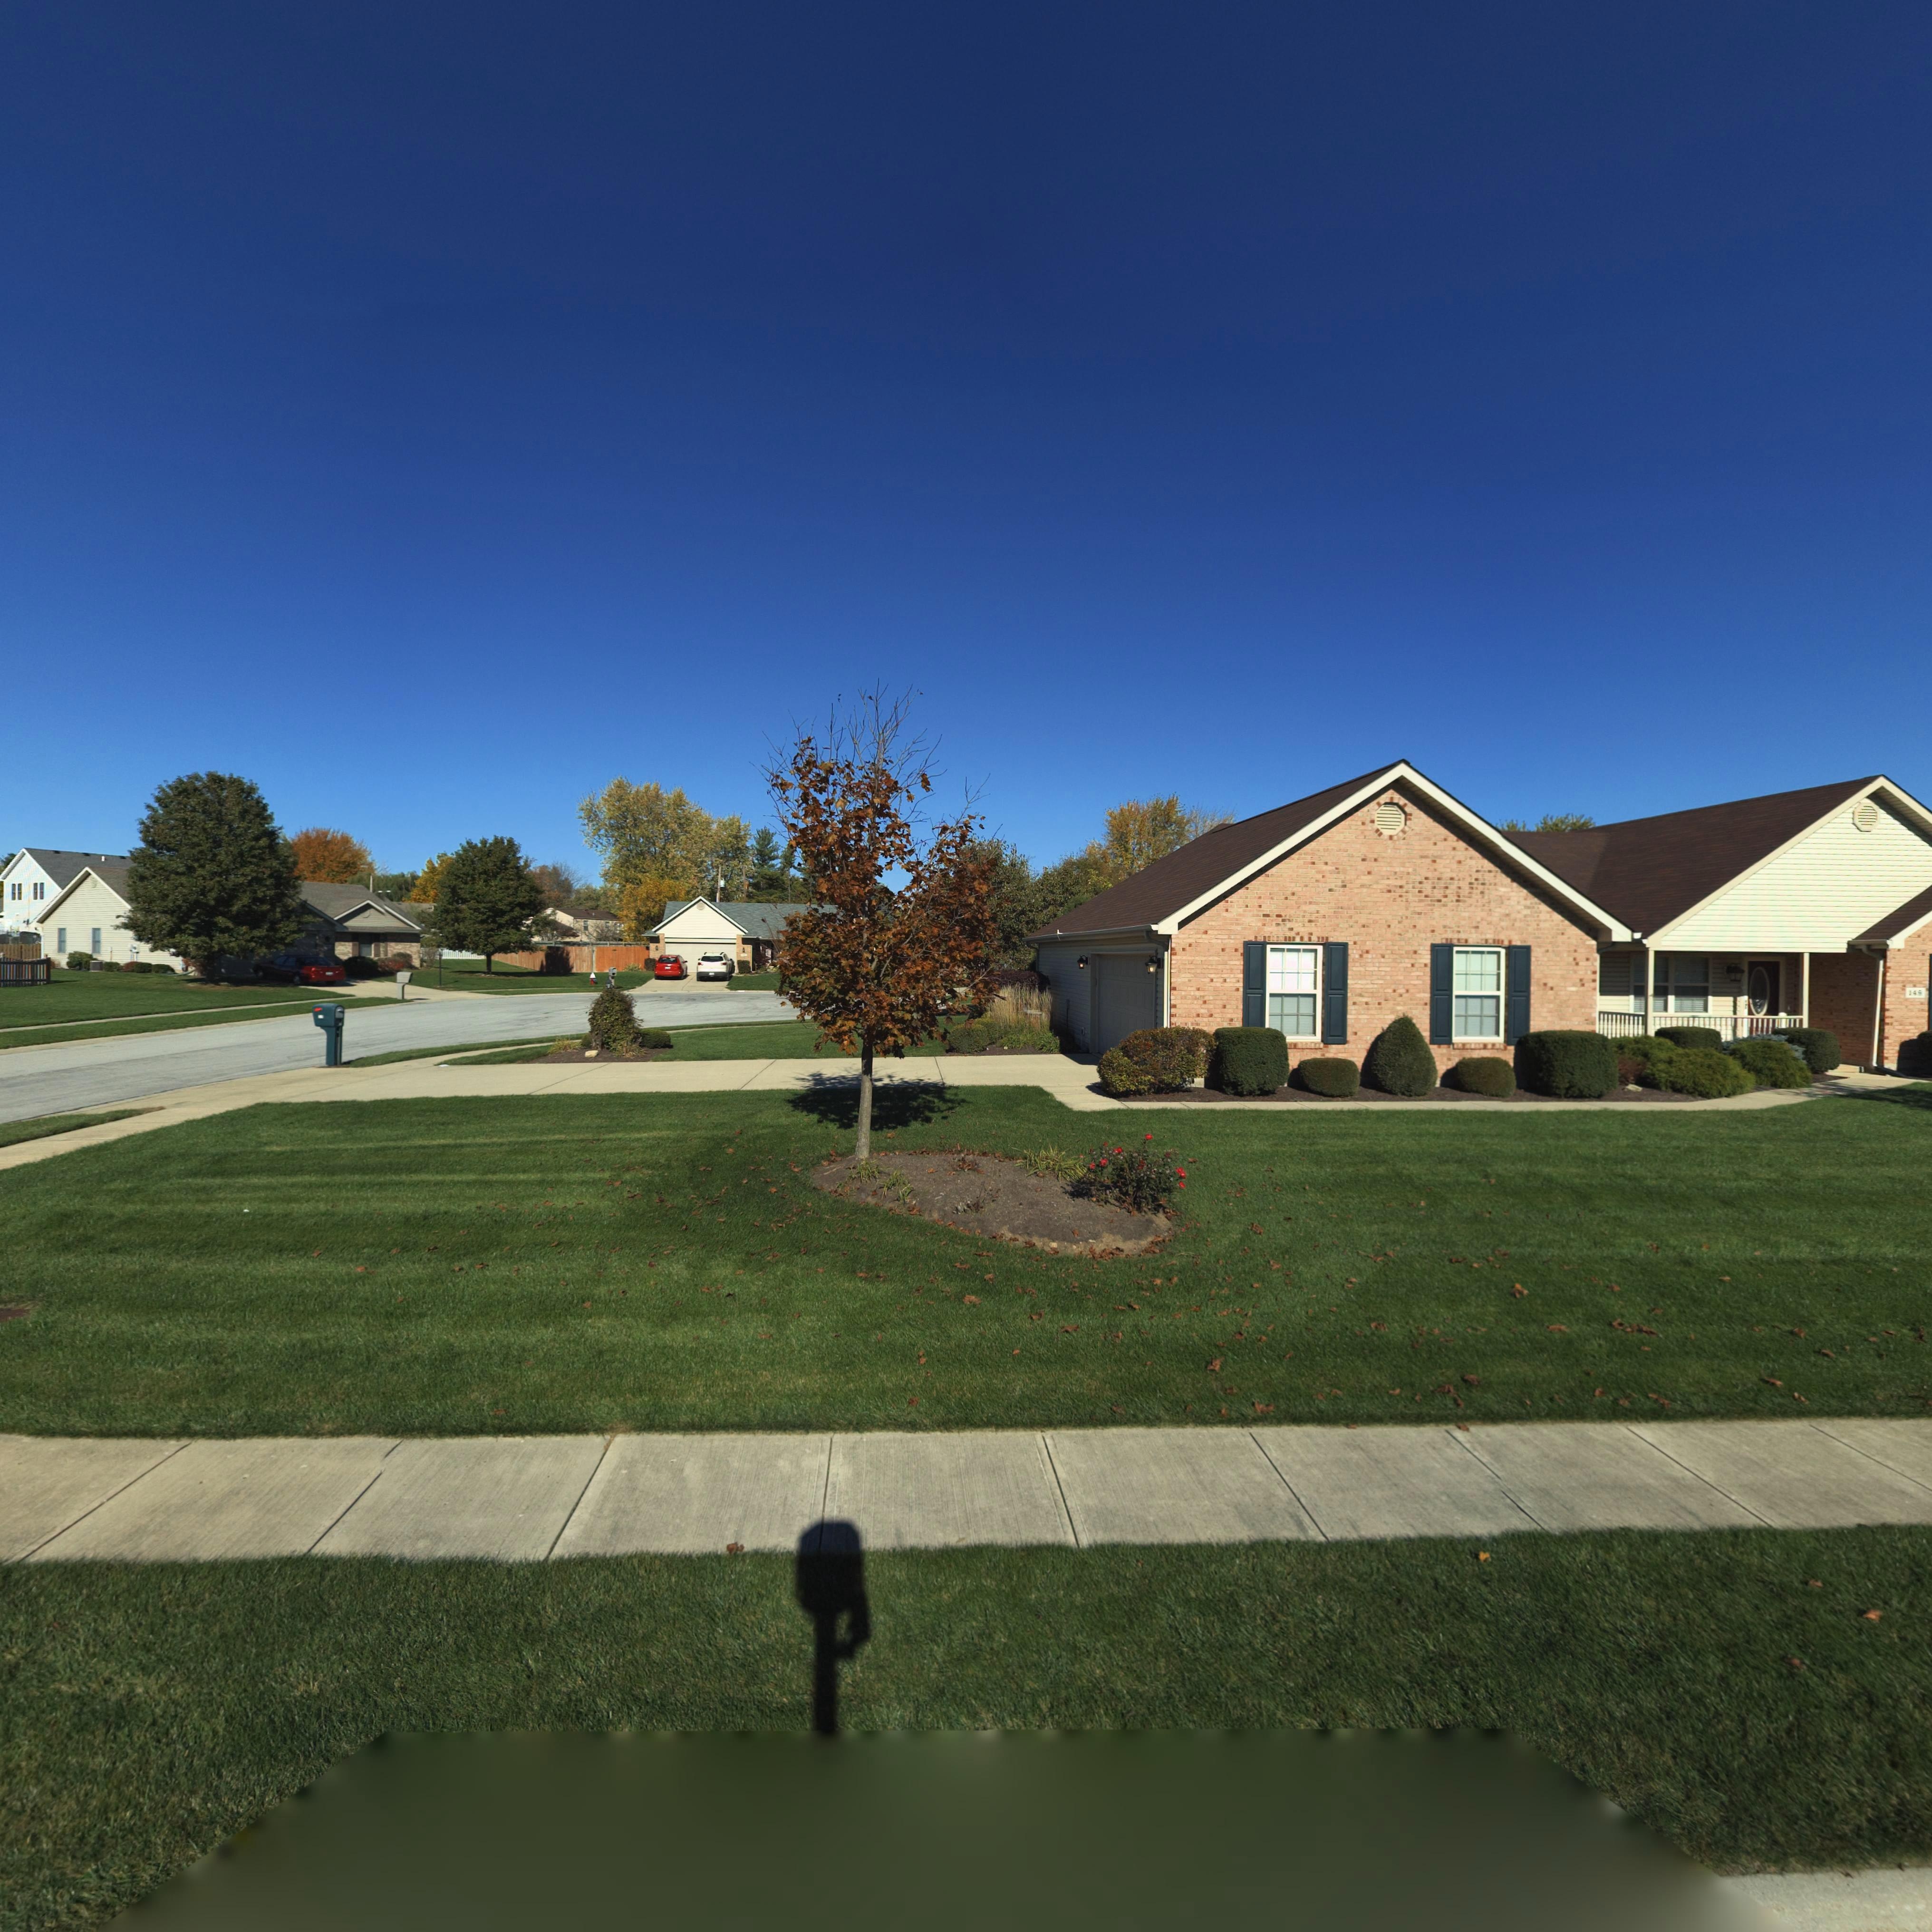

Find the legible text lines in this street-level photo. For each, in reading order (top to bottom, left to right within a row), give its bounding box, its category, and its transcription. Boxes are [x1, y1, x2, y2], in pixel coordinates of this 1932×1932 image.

[1908, 989, 1922, 996] StreetNumber: 14*